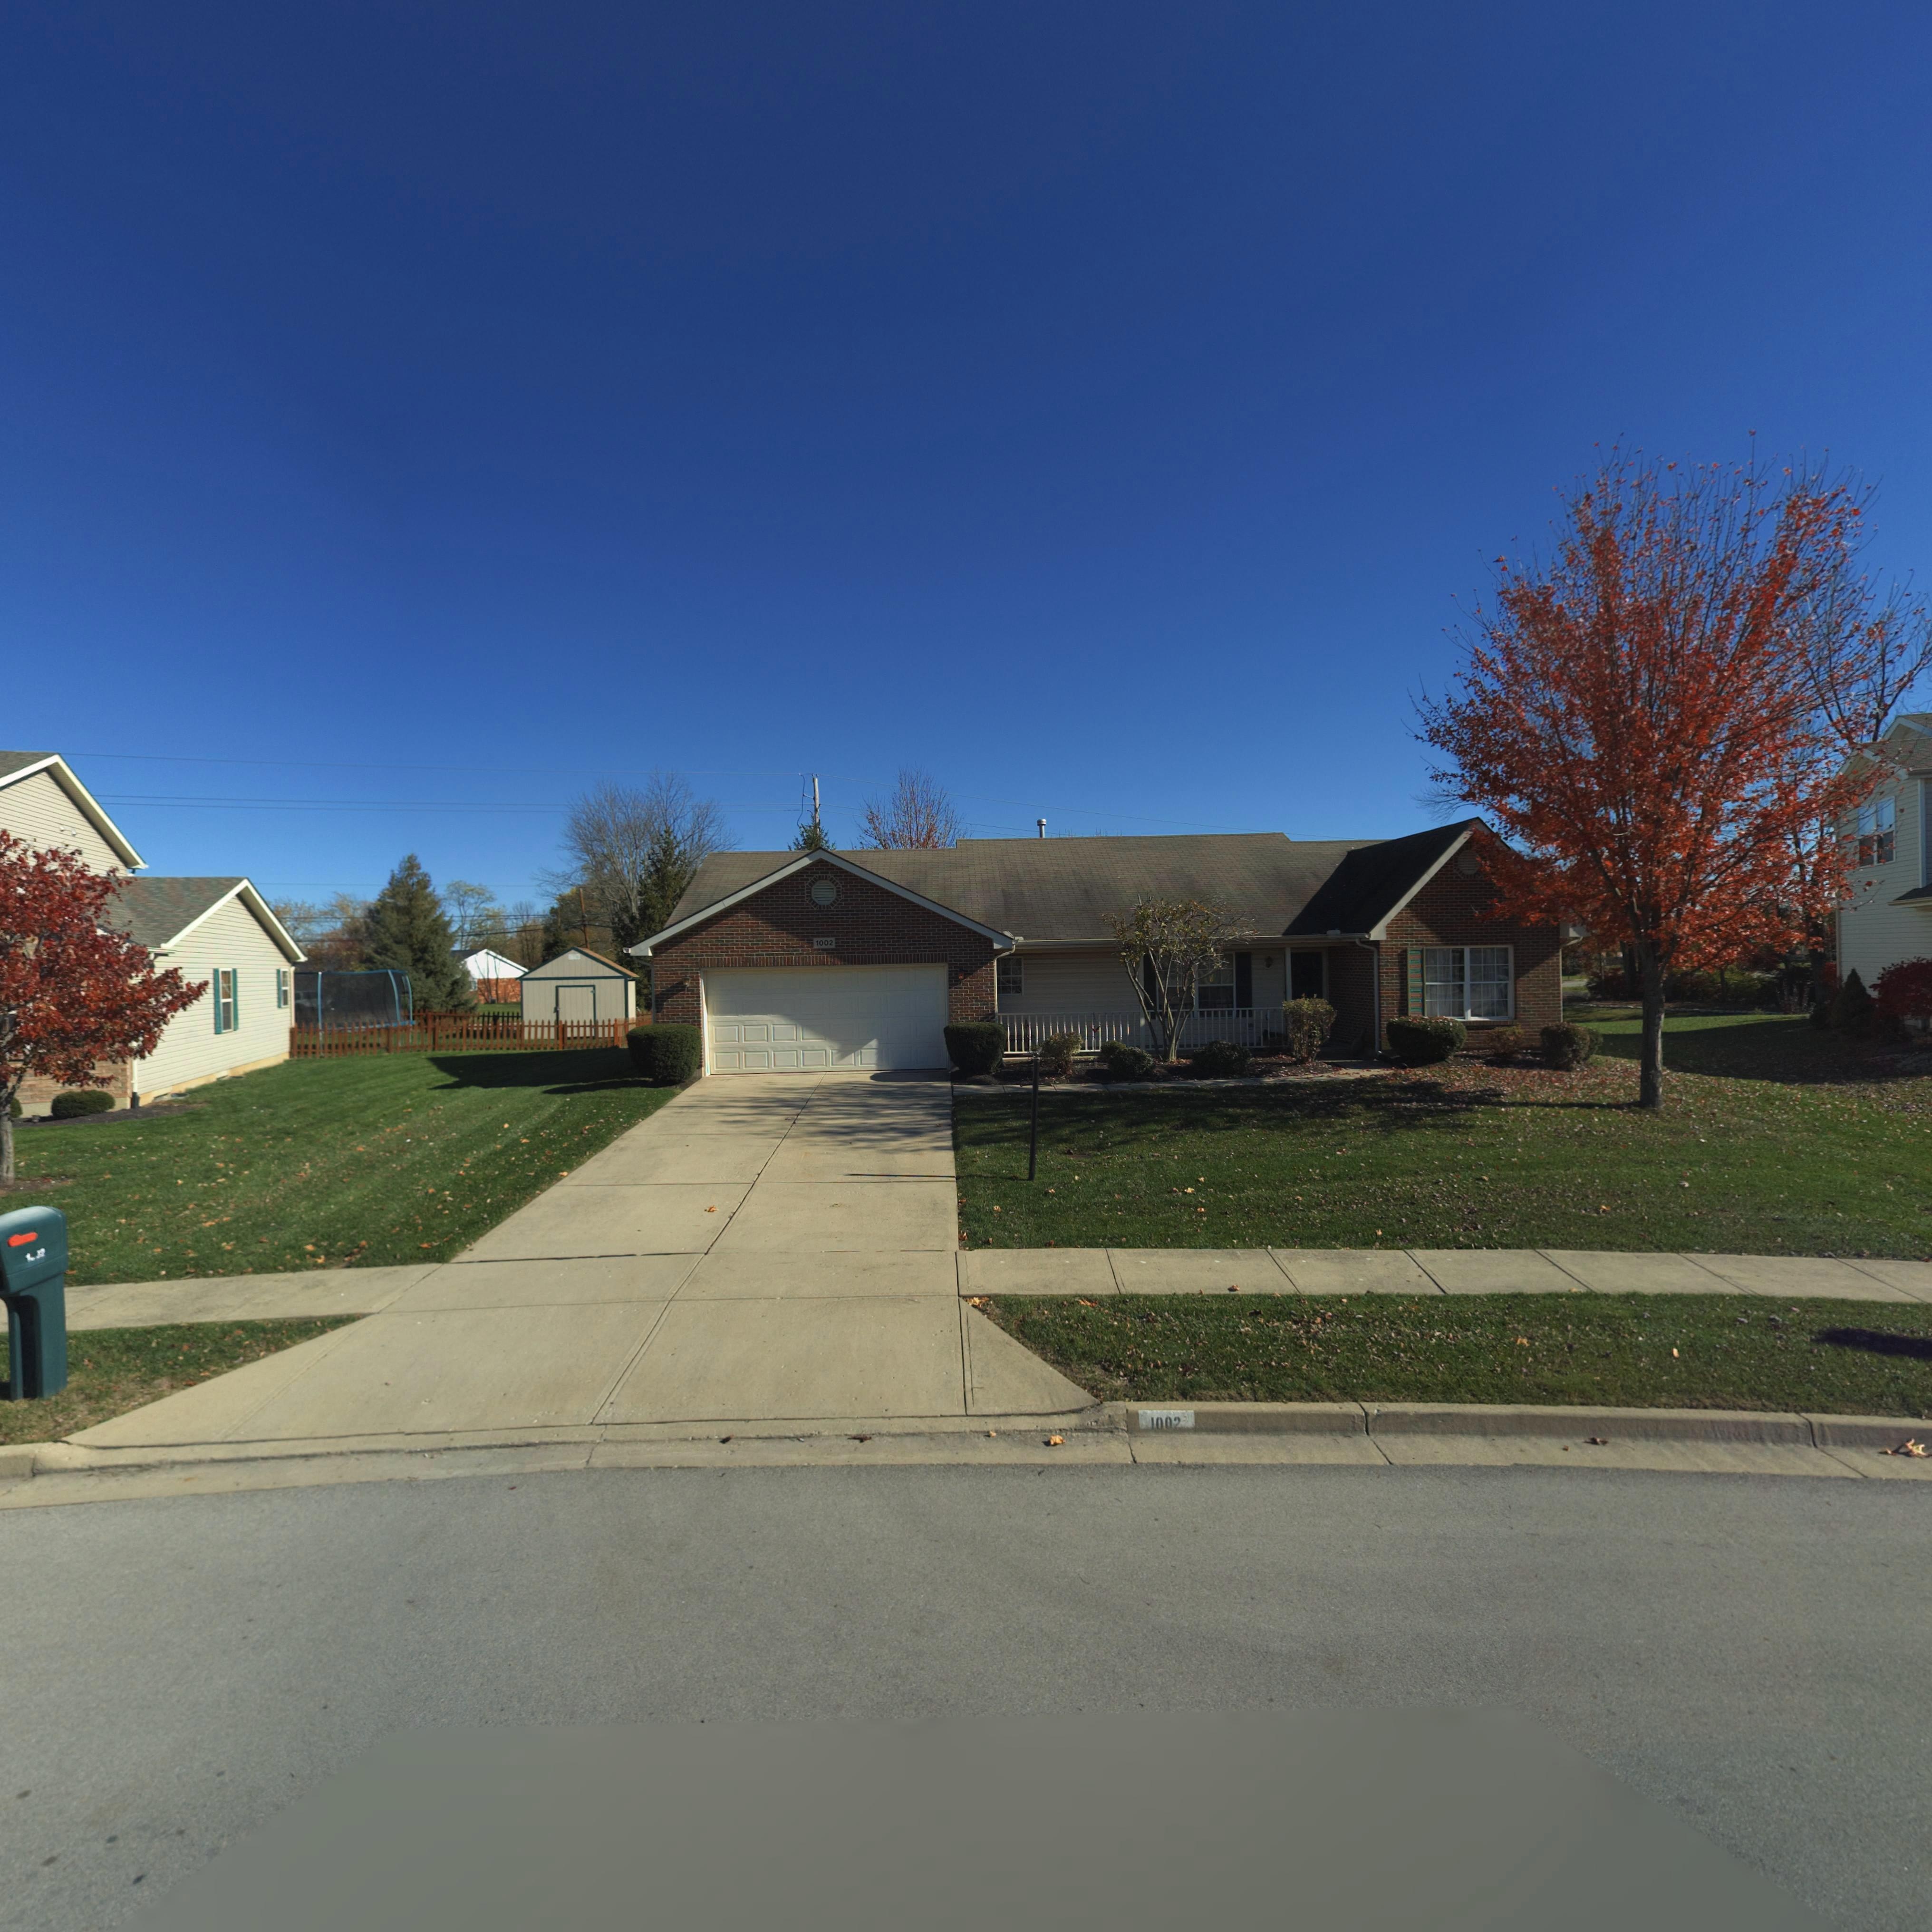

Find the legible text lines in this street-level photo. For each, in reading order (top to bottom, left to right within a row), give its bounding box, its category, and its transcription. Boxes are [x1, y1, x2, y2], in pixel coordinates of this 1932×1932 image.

[816, 939, 833, 946] StreetNumber: 1002
[25, 1246, 46, 1263] StreetNumber: 1**2
[1150, 1416, 1181, 1430] StreetNumber: 1002